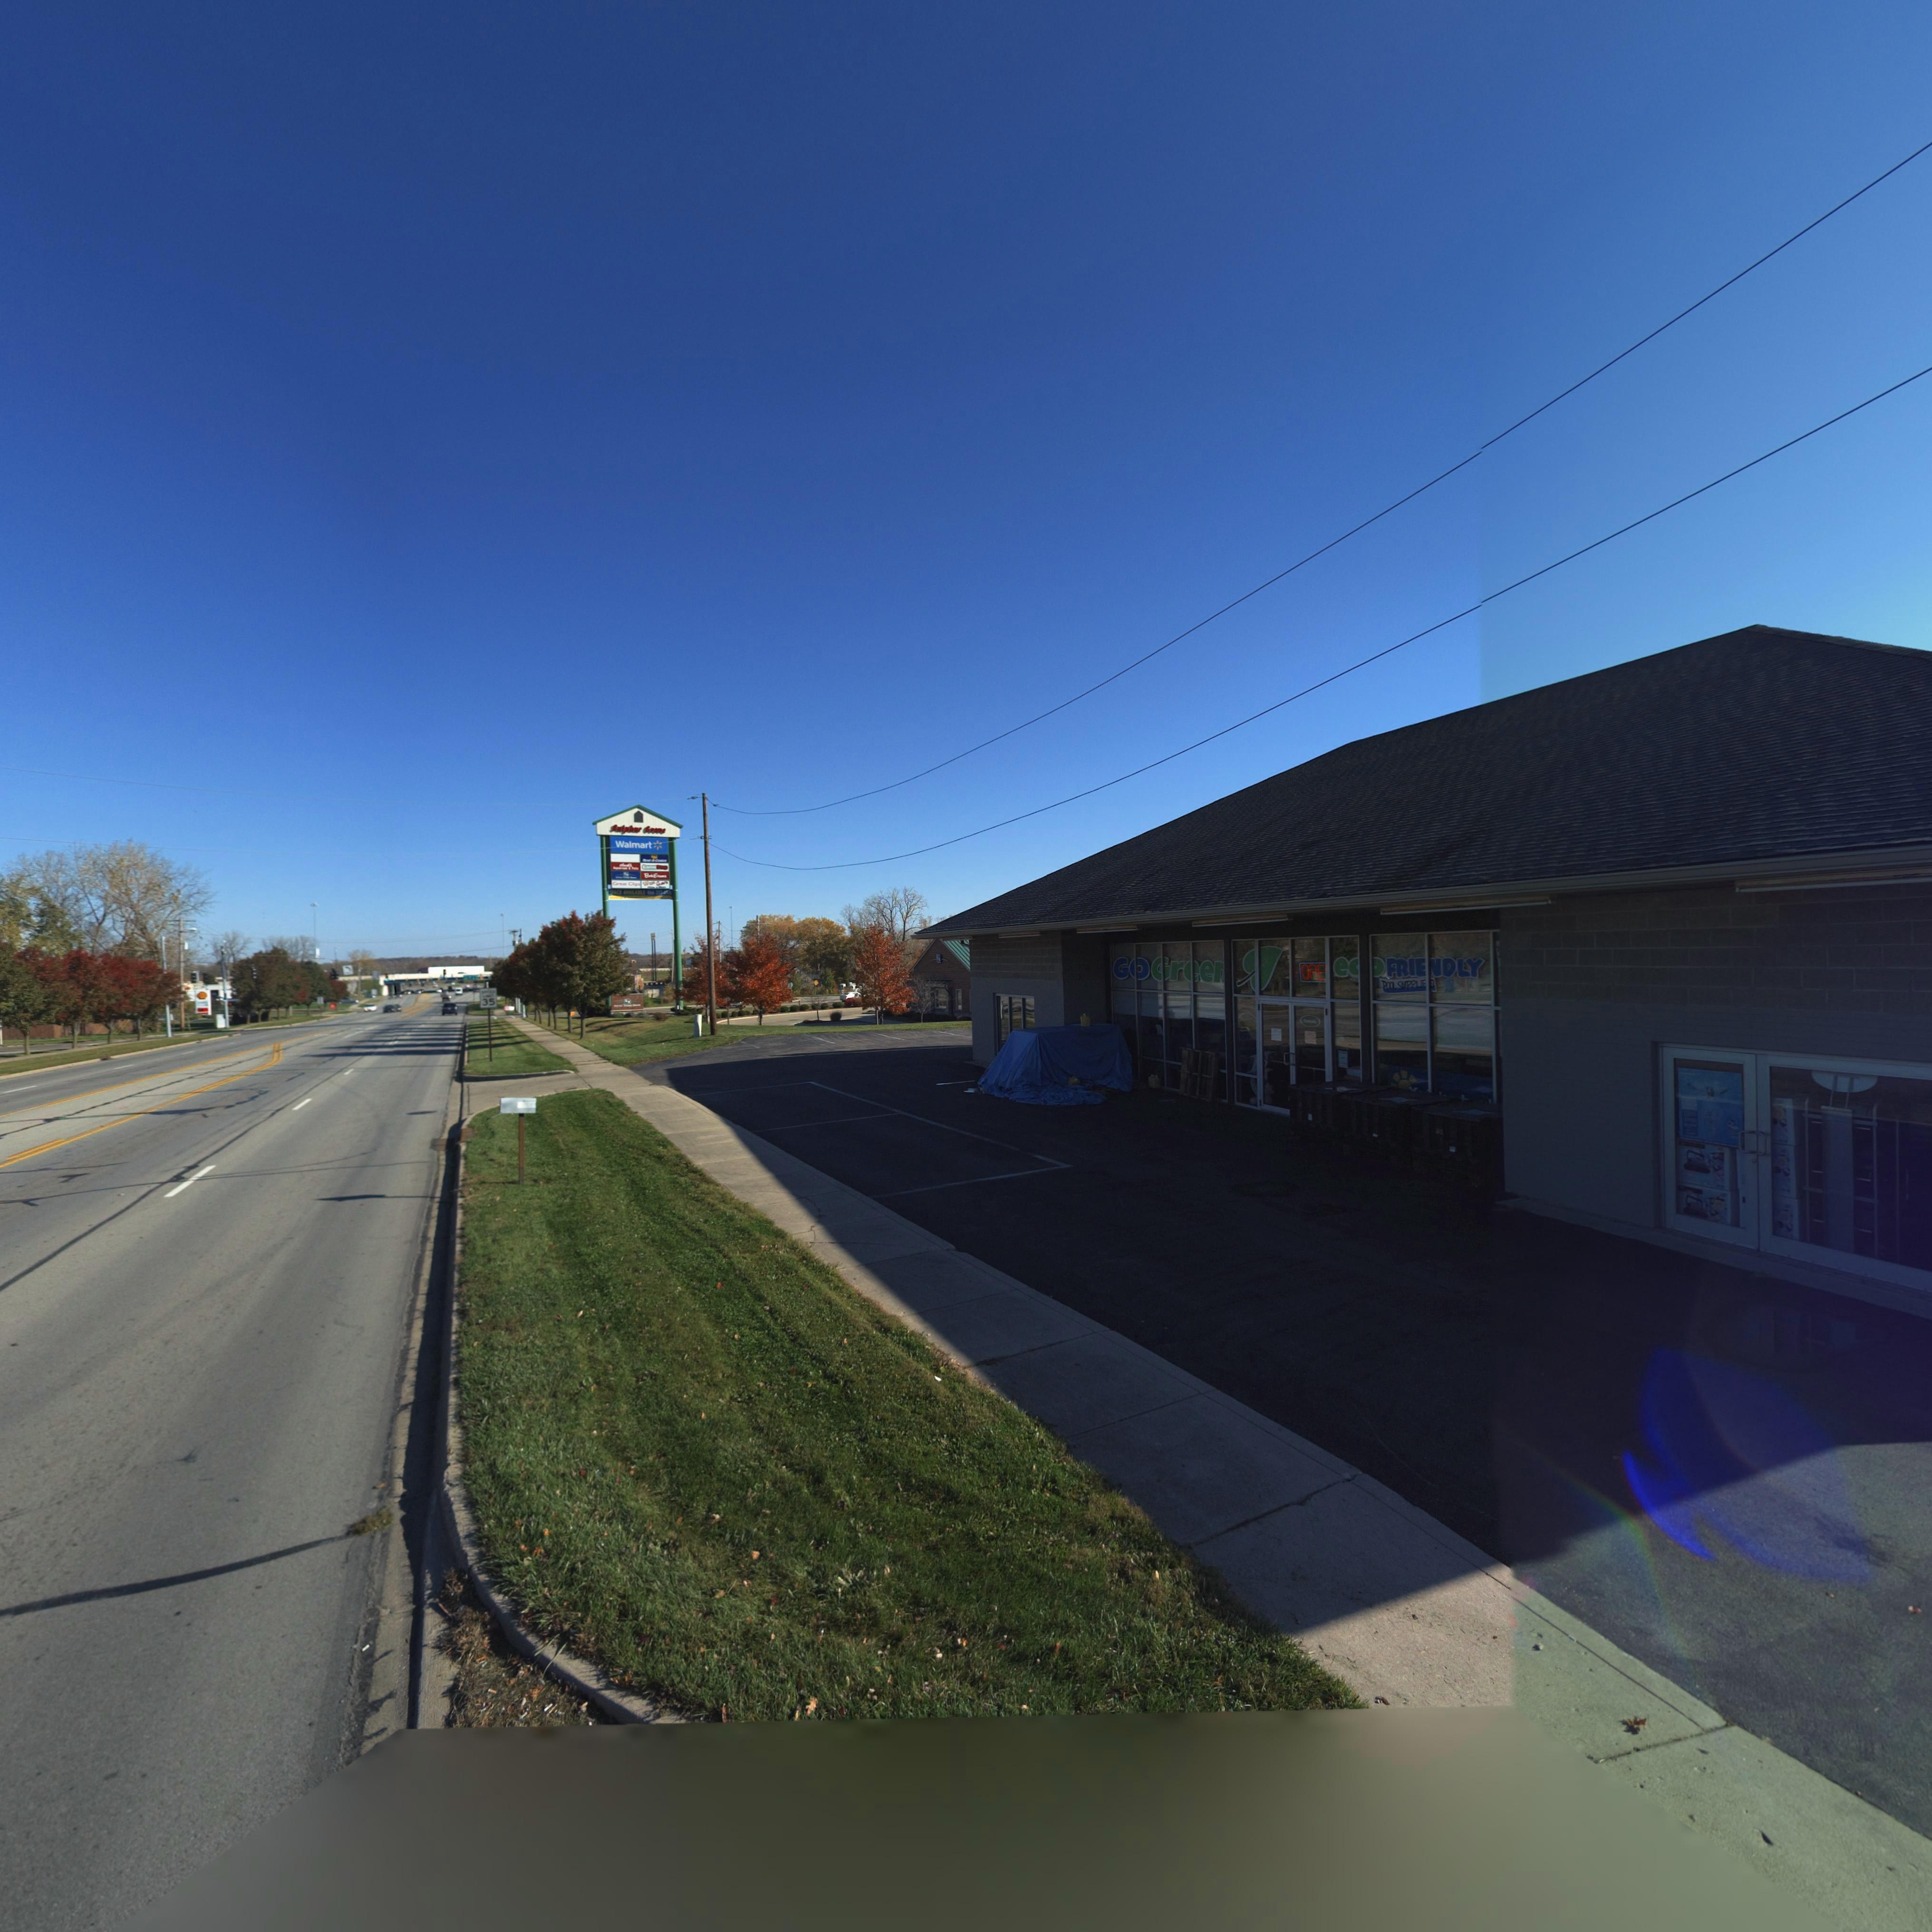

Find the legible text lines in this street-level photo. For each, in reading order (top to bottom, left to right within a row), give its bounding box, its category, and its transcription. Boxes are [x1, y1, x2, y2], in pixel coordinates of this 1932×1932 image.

[1284, 988, 1289, 995] StreetNumber: 7